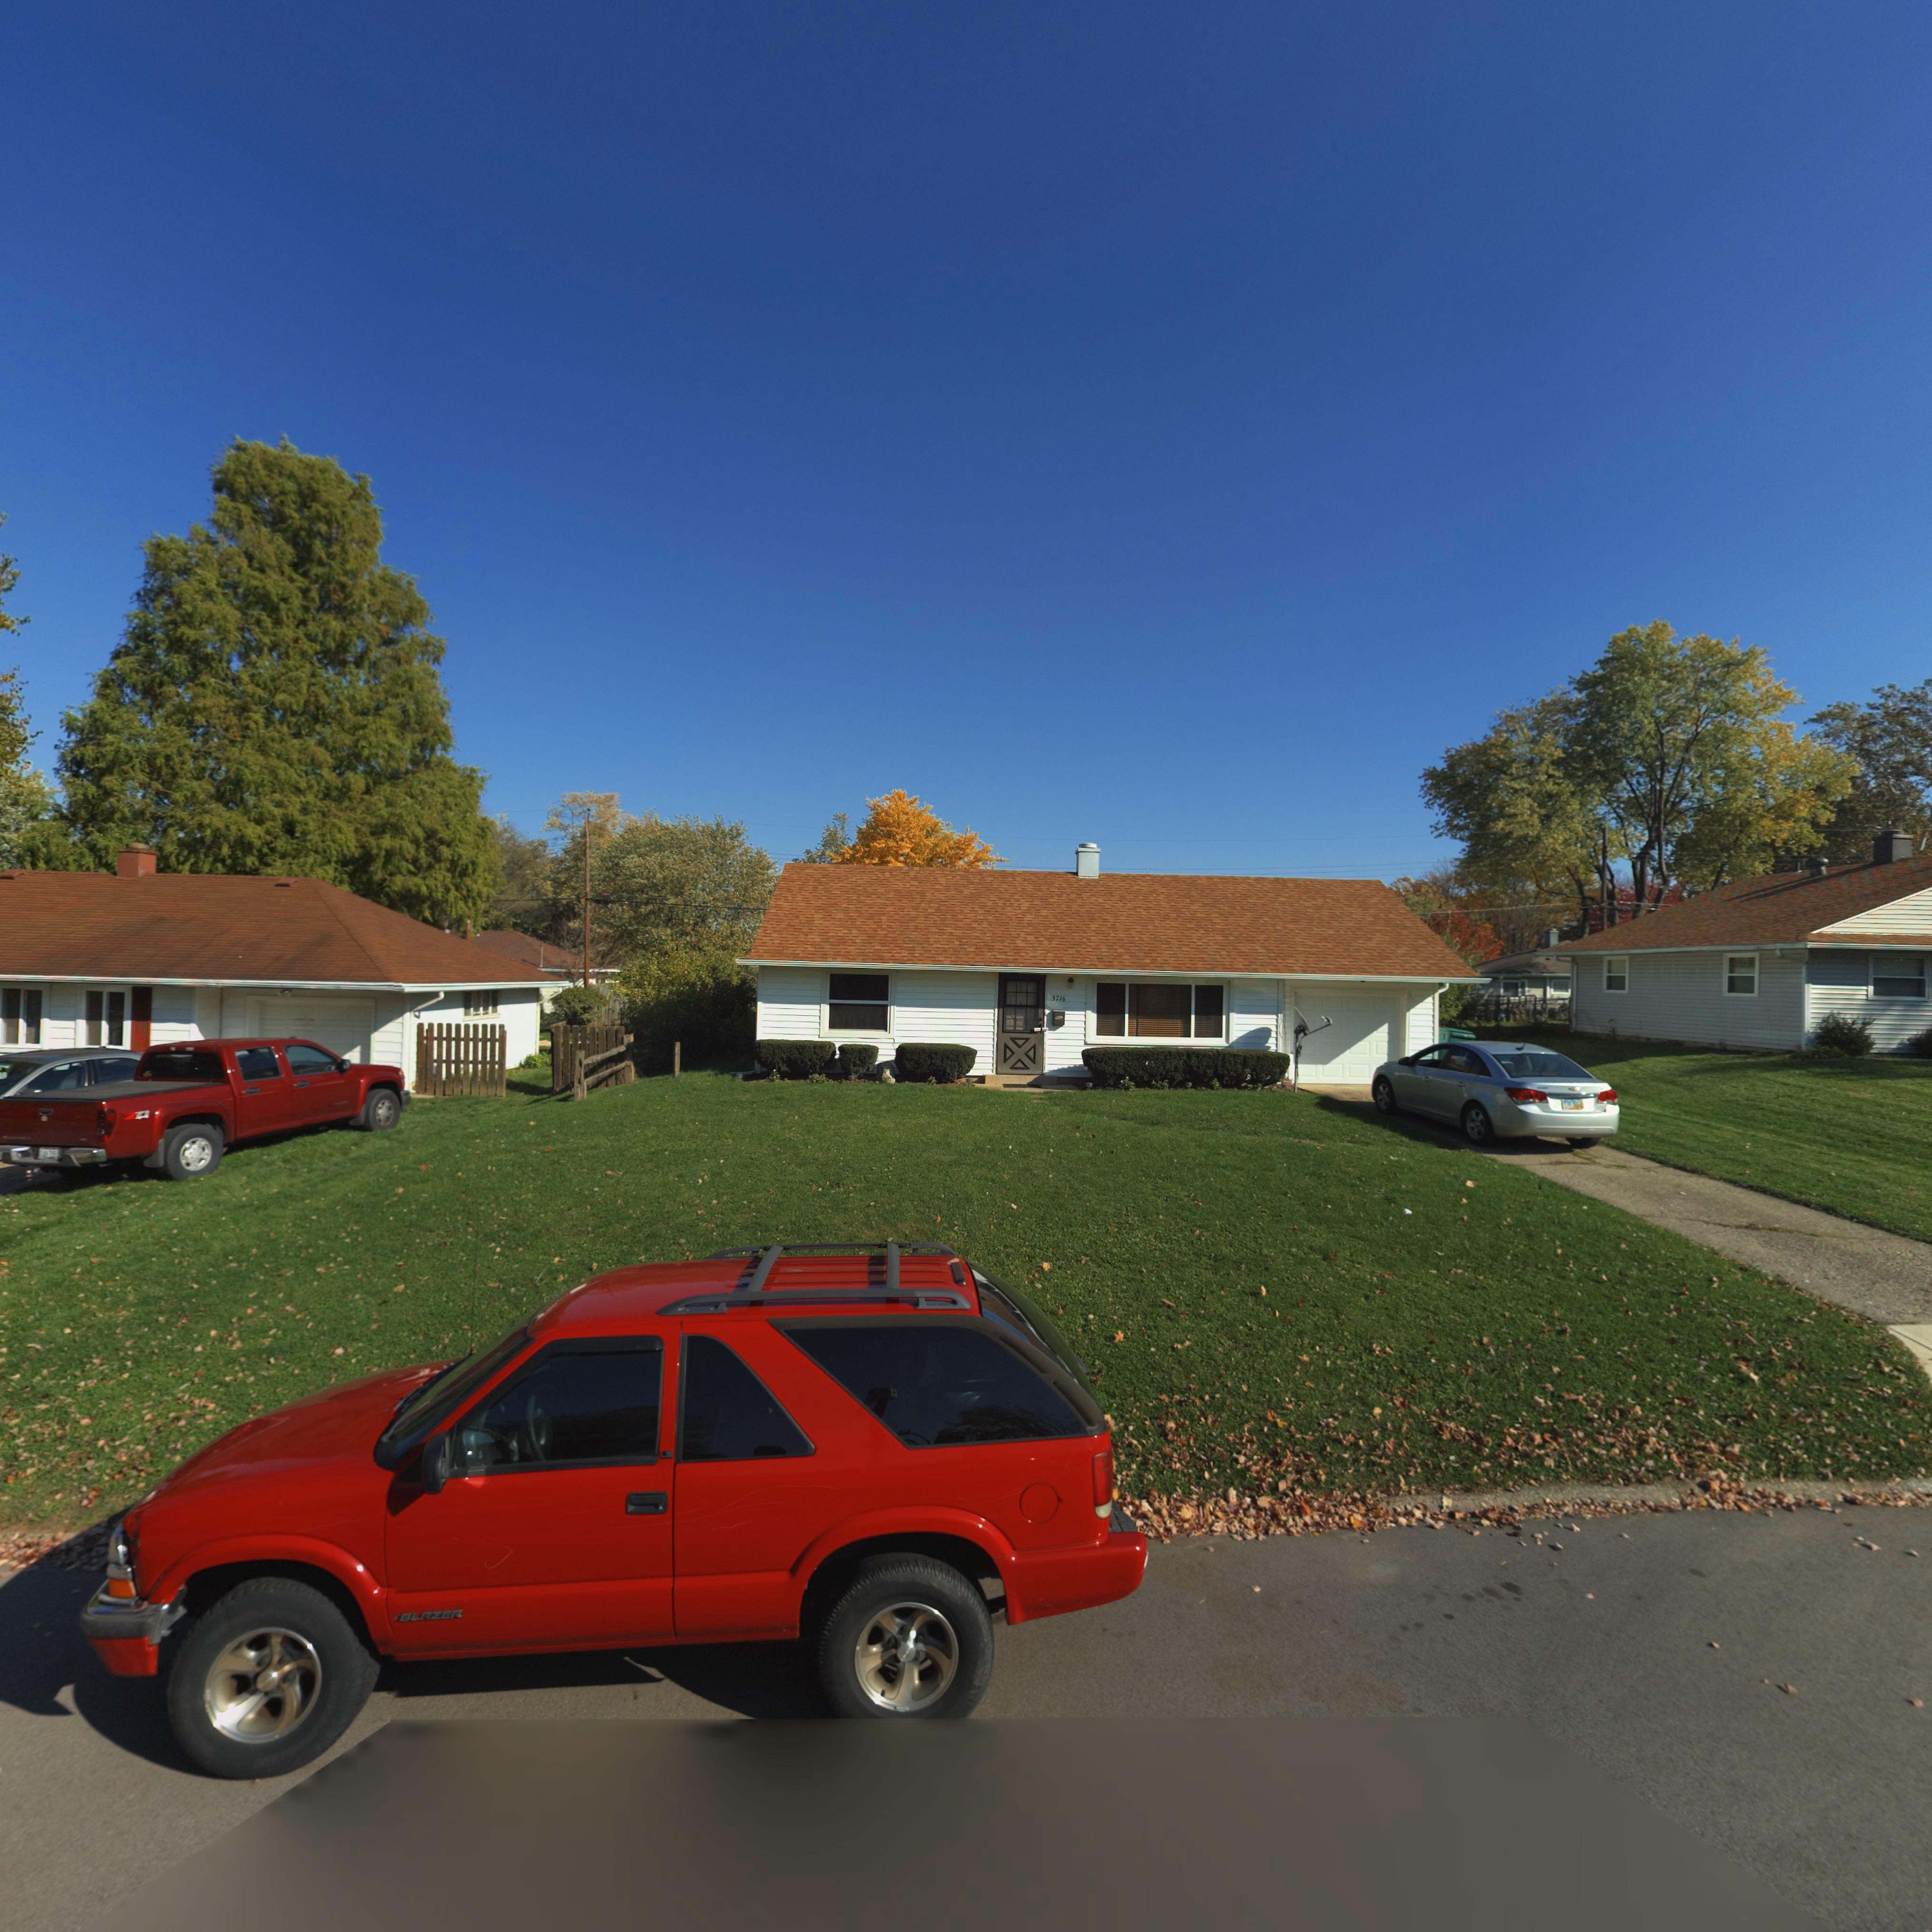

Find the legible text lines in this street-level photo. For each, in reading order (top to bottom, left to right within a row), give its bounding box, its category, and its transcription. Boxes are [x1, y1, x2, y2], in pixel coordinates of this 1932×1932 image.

[1052, 995, 1065, 1001] StreetNumber: 3716